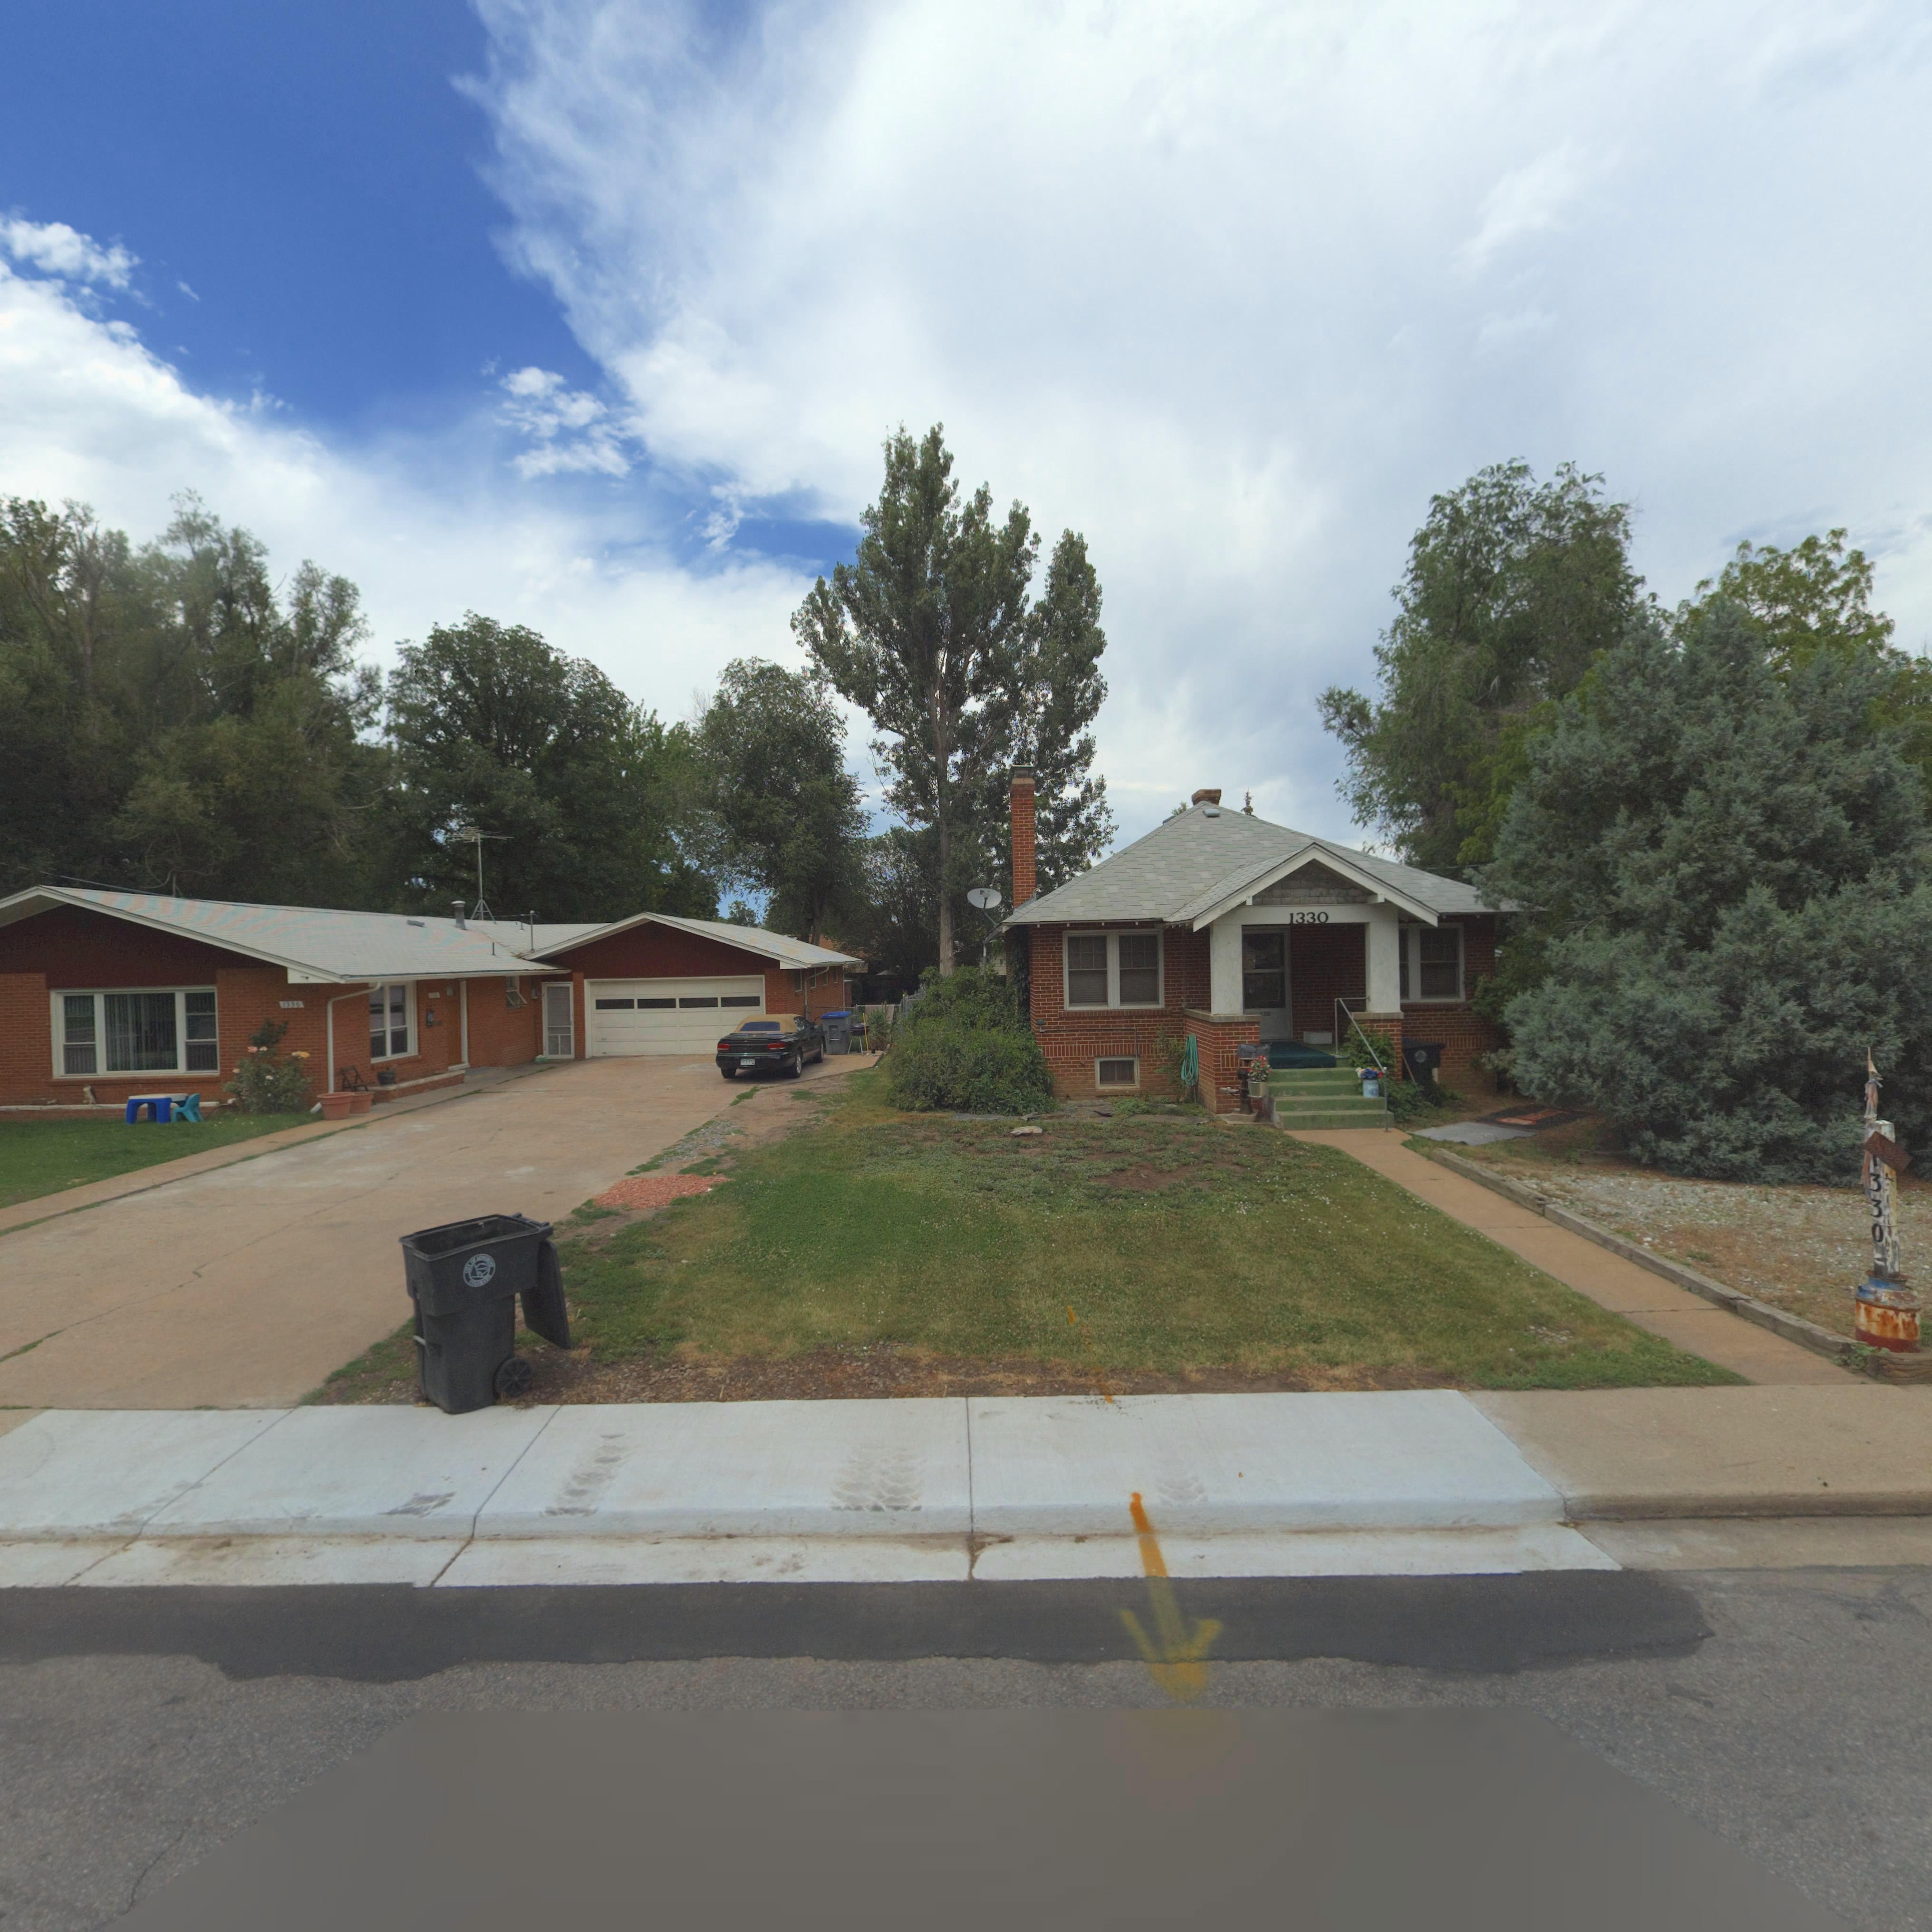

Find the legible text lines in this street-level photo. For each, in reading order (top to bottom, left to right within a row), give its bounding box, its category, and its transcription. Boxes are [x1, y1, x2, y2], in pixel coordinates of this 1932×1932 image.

[1288, 911, 1329, 925] StreetNumber: 1330
[281, 1000, 301, 1009] StreetNumber: 133*
[1260, 1011, 1272, 1016] StreetNumber: 13**
[1867, 1146, 1884, 1244] StreetNumber: *330